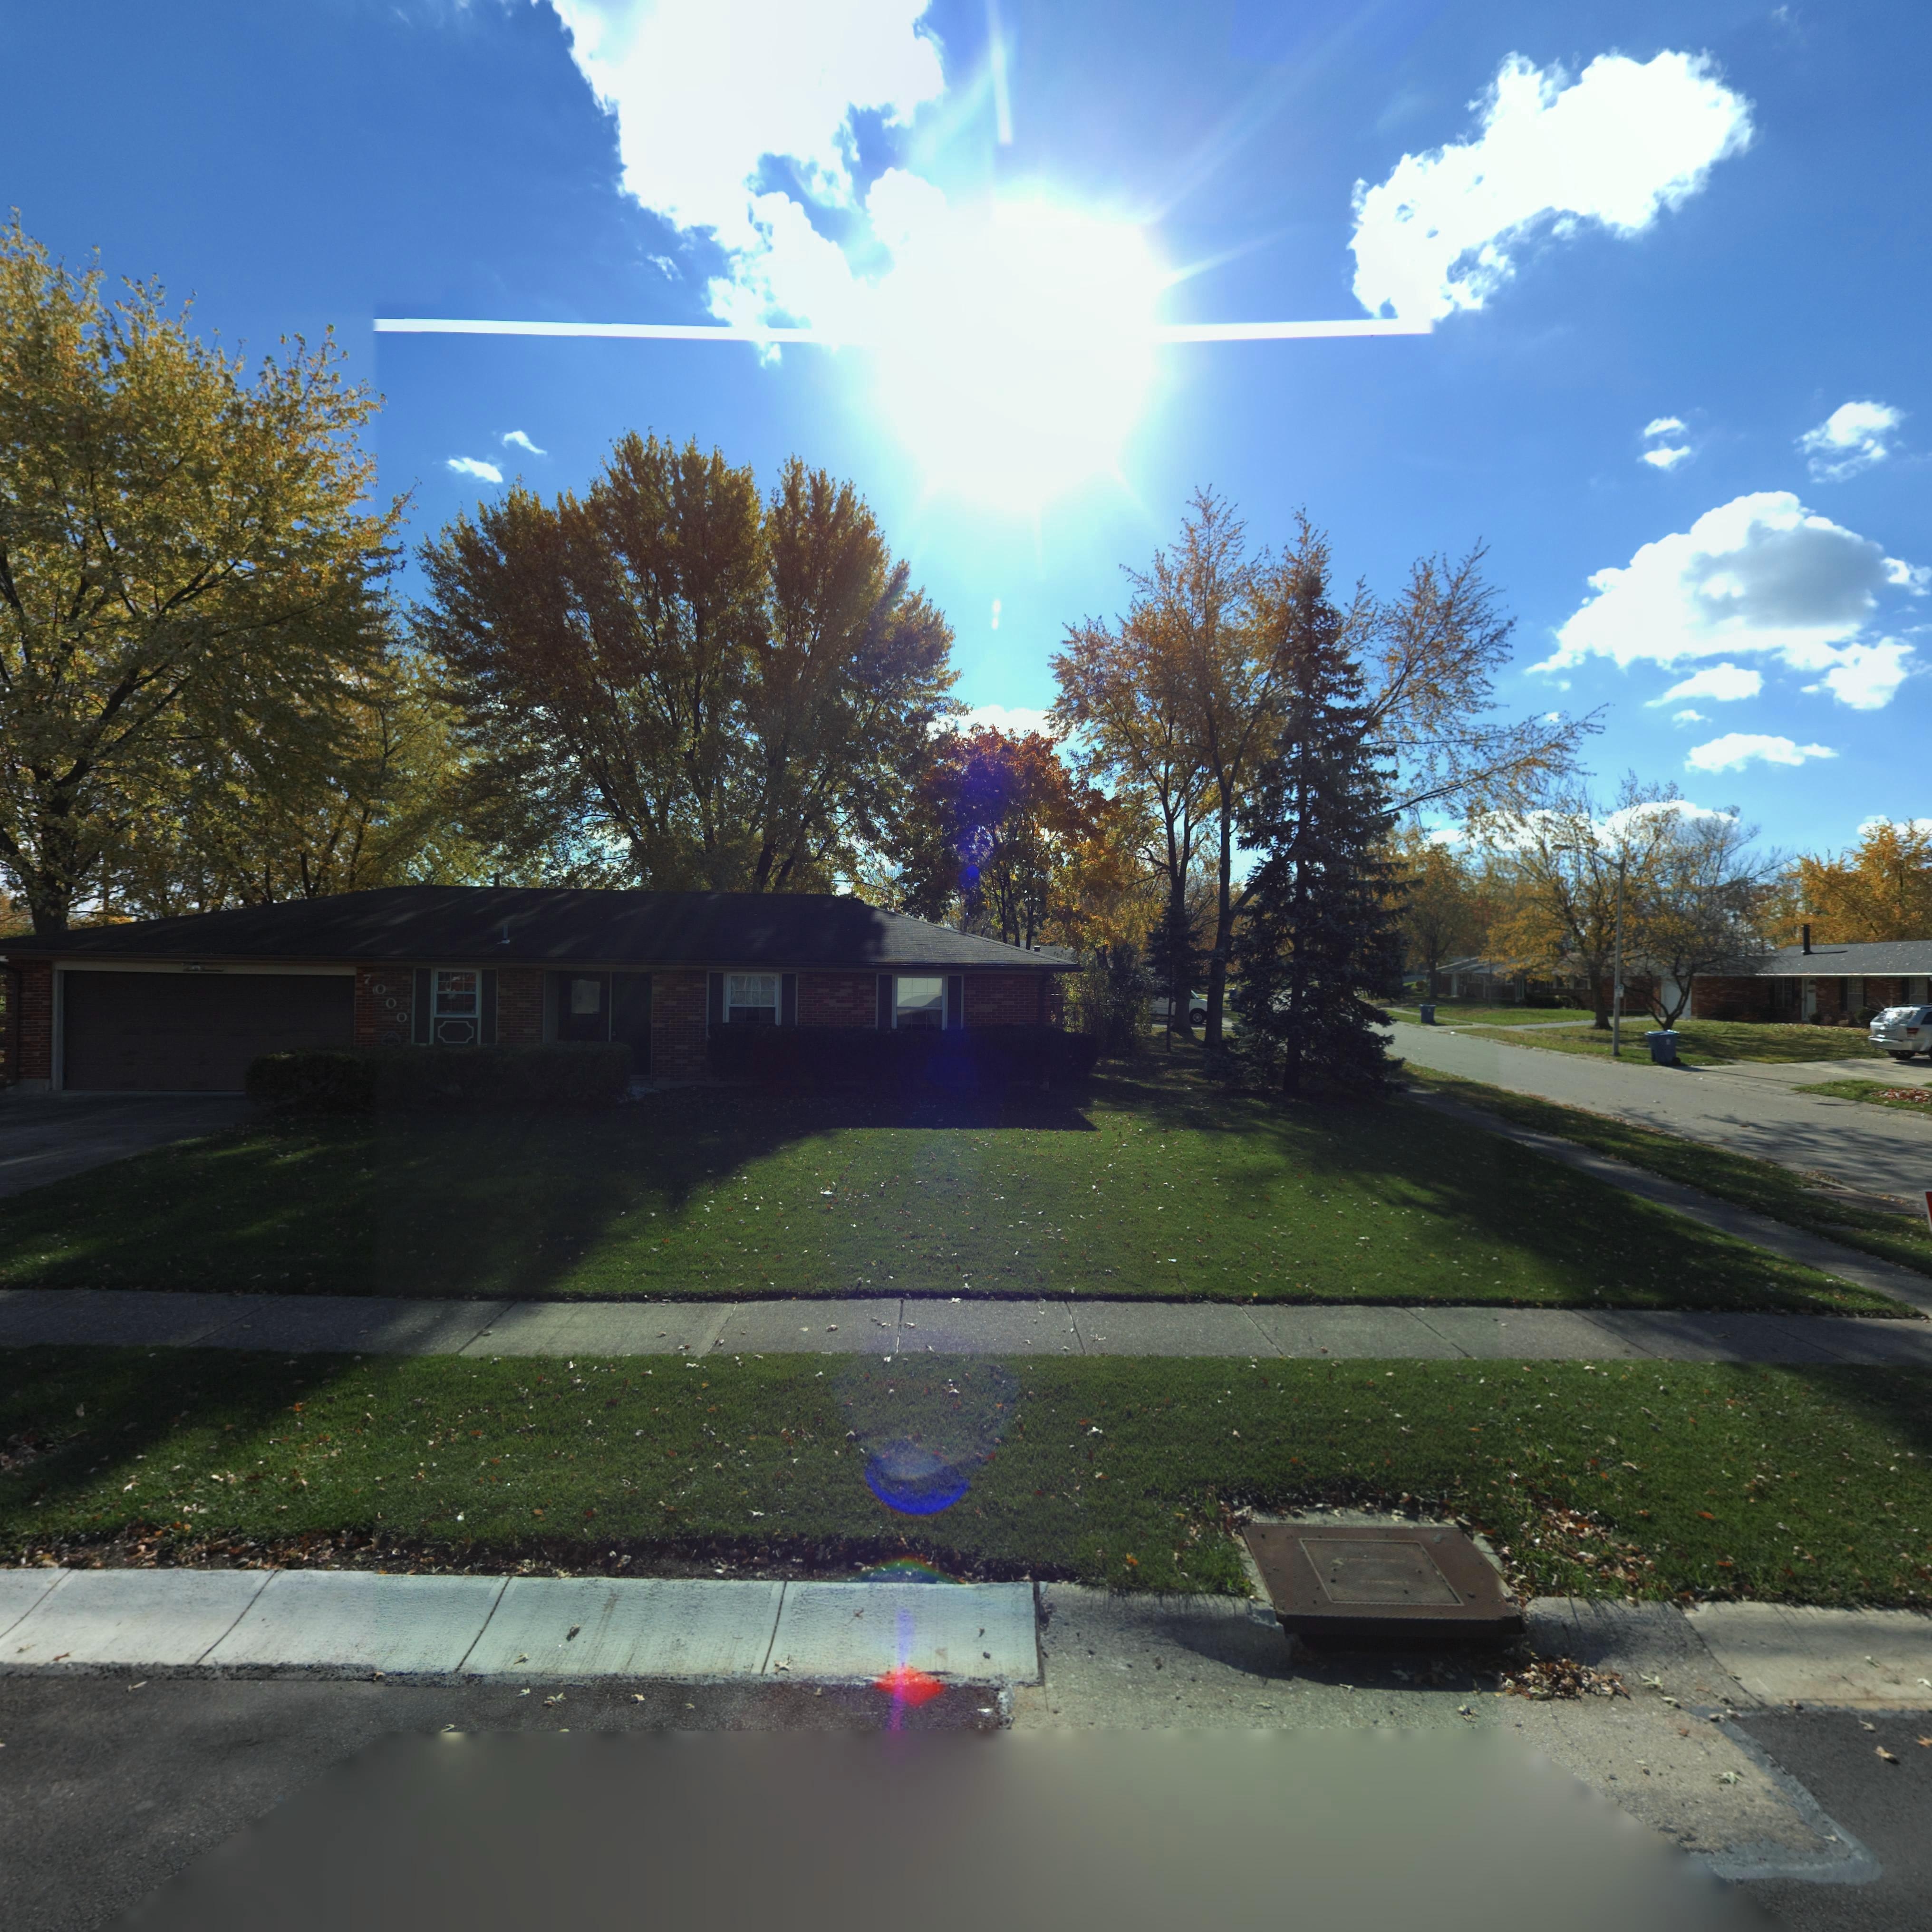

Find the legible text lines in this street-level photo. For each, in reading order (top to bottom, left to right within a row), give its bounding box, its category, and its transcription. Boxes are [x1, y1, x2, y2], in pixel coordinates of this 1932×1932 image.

[361, 973, 409, 1024] StreetNumber: 7*00